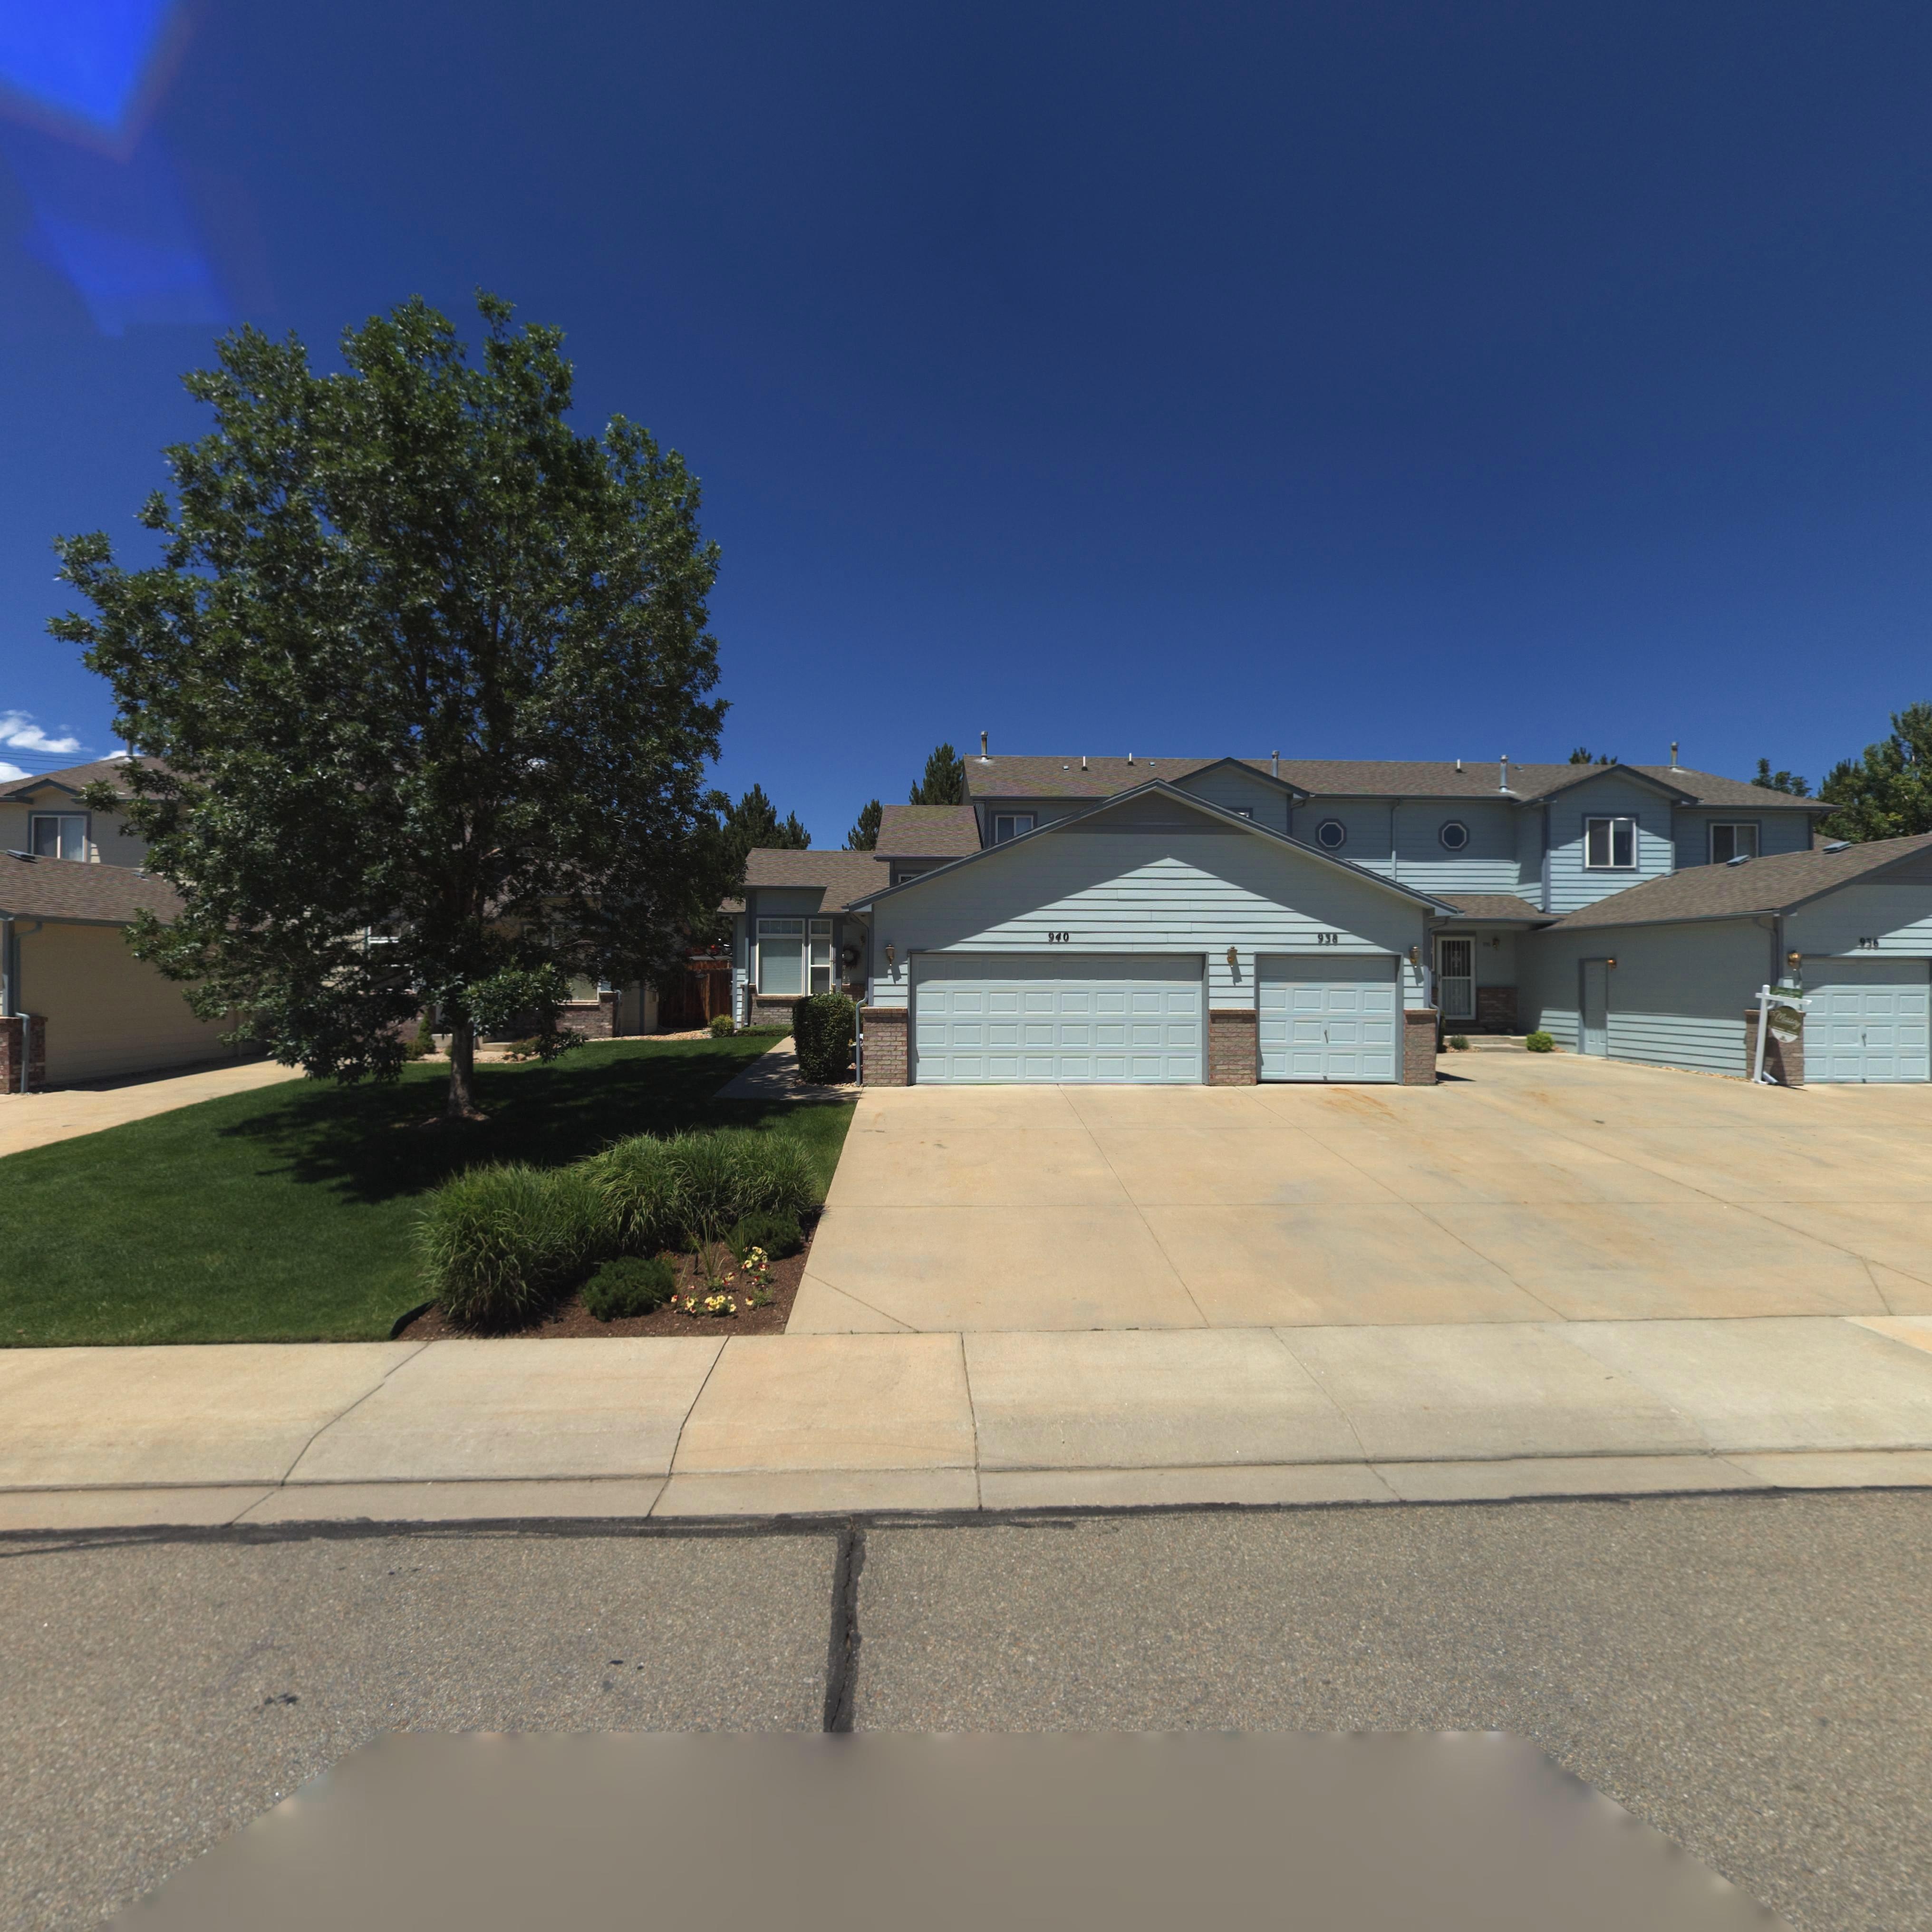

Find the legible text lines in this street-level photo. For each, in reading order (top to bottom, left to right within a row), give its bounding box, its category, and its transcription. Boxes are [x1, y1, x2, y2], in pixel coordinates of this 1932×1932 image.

[1048, 931, 1069, 942] StreetNumber: 940
[1317, 933, 1337, 944] StreetNumber: 938
[1859, 937, 1880, 947] StreetNumber: 93*